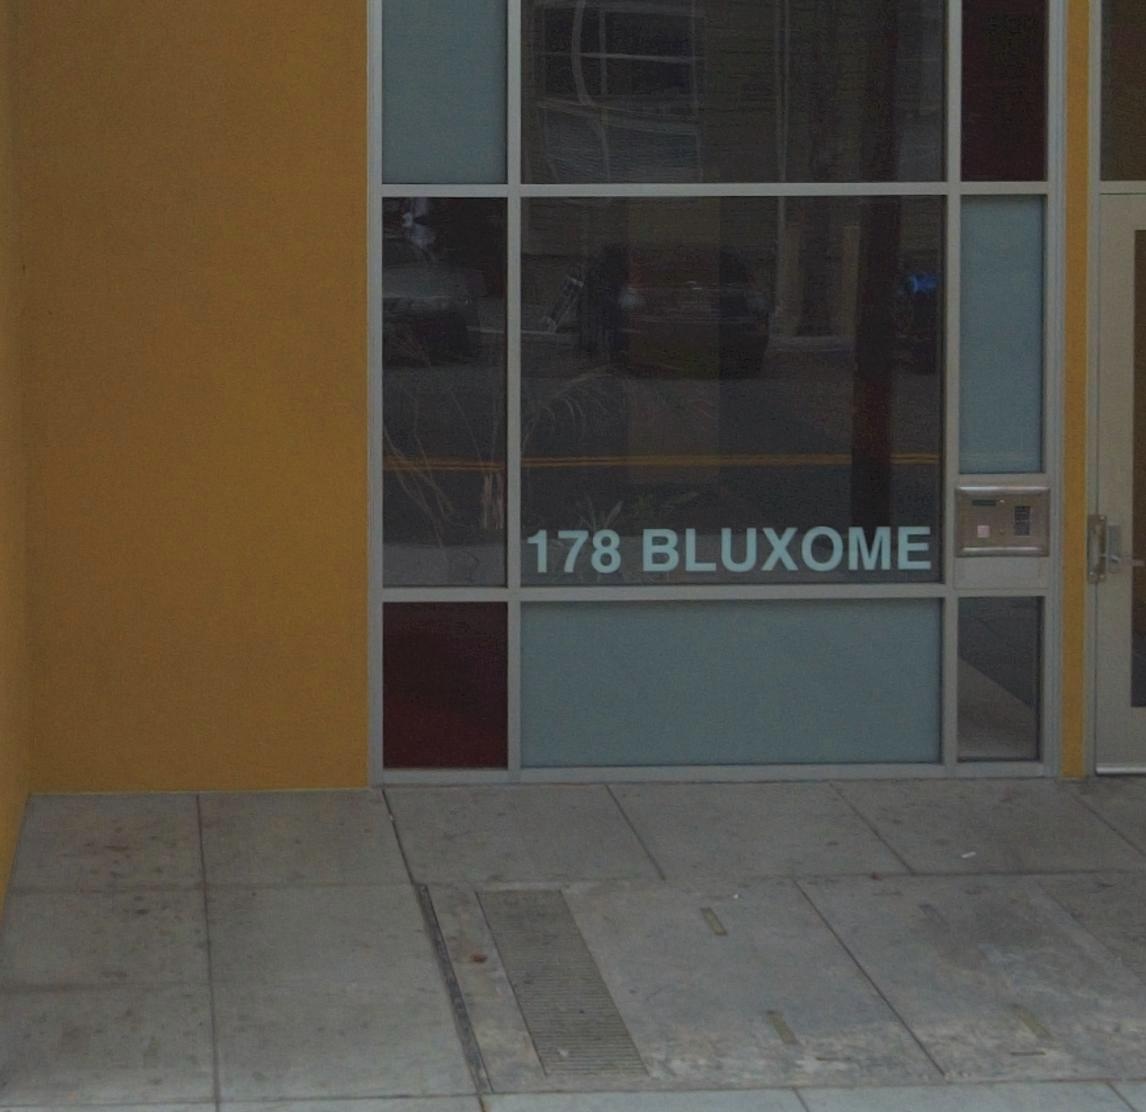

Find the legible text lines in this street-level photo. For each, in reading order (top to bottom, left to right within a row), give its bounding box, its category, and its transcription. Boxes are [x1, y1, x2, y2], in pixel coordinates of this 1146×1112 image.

[525, 527, 623, 576] StreetNumber: 178
[638, 521, 936, 577] StreetName: BLUXOME